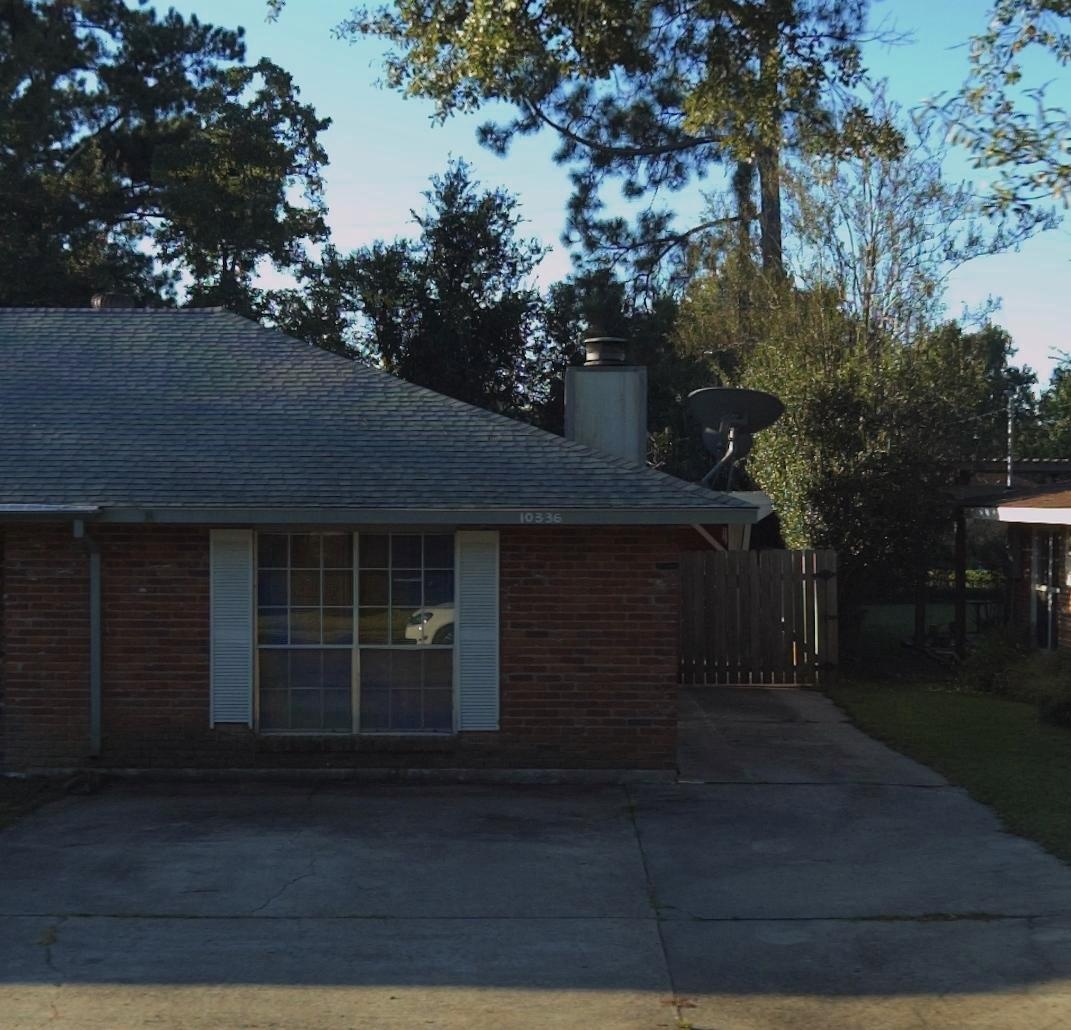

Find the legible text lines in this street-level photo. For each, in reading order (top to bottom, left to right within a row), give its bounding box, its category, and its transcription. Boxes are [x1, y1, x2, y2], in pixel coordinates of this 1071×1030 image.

[518, 511, 563, 525] StreetNumber: 10336